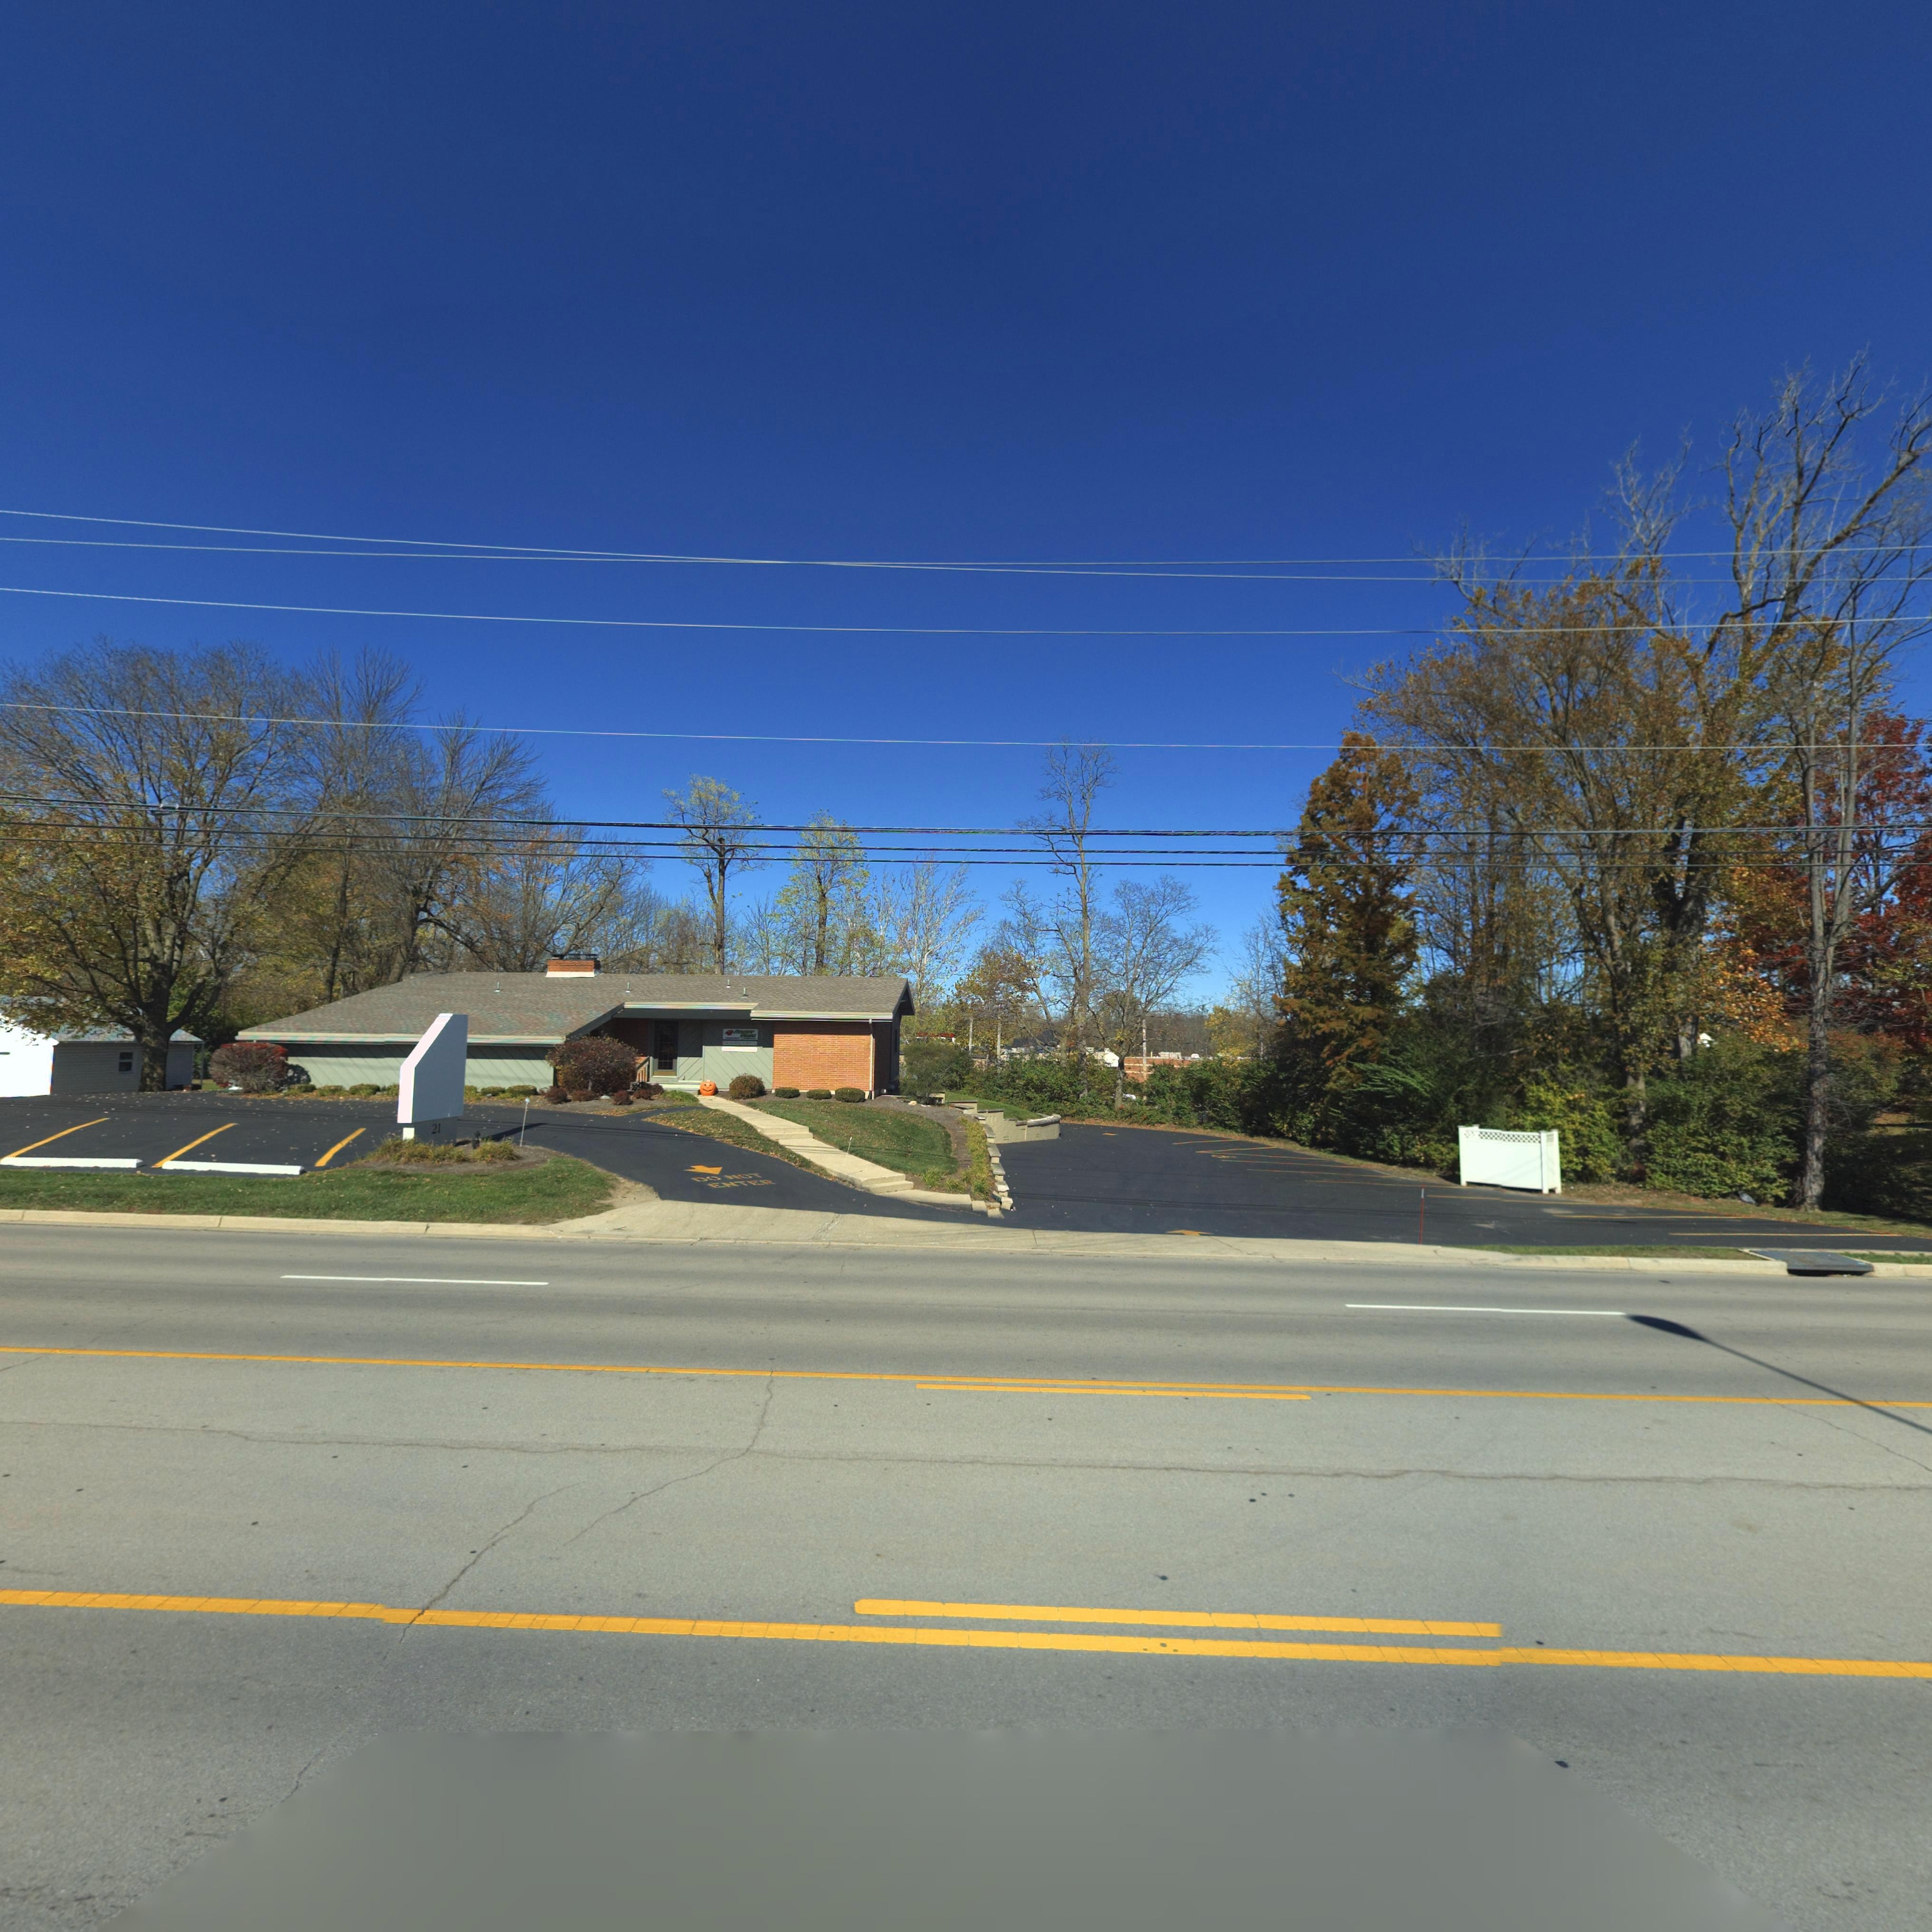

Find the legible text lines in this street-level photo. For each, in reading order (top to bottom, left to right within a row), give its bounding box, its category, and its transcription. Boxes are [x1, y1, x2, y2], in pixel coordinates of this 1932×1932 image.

[431, 1121, 442, 1136] StreetNumber: 21